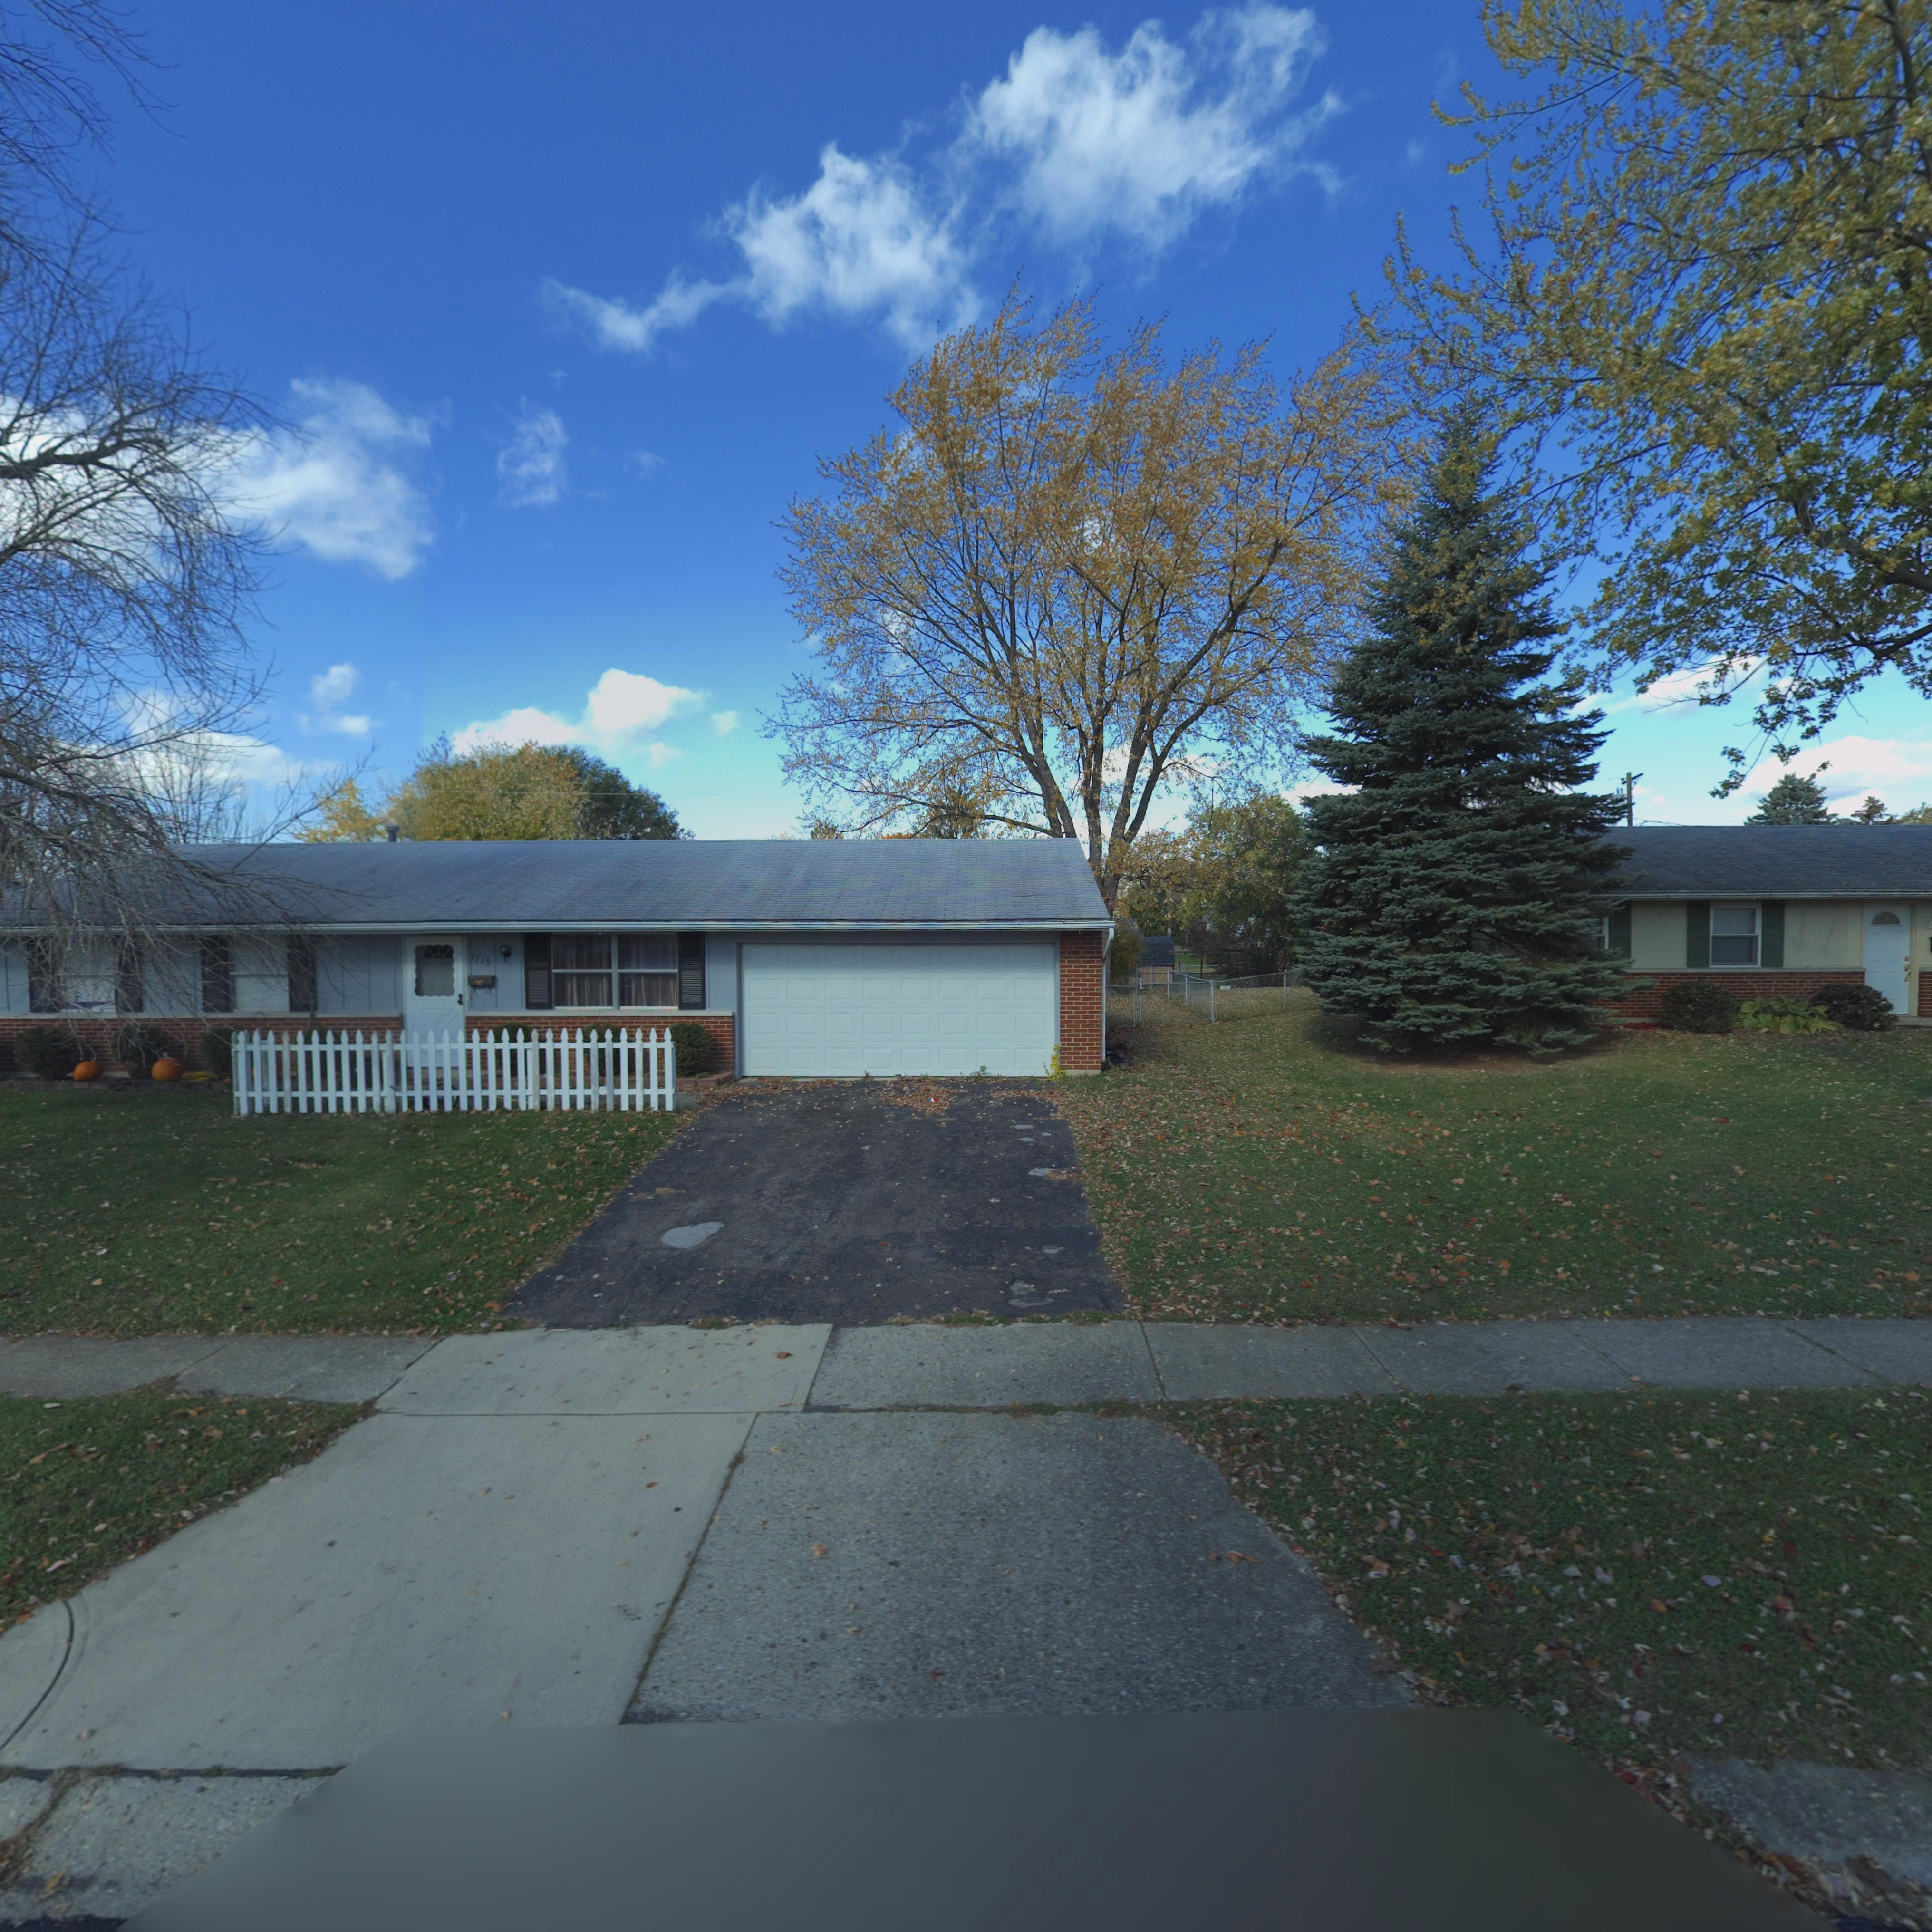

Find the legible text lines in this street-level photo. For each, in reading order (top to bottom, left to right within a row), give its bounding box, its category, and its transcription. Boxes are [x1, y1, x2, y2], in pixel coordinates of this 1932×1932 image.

[470, 954, 491, 966] StreetNumber: 7719